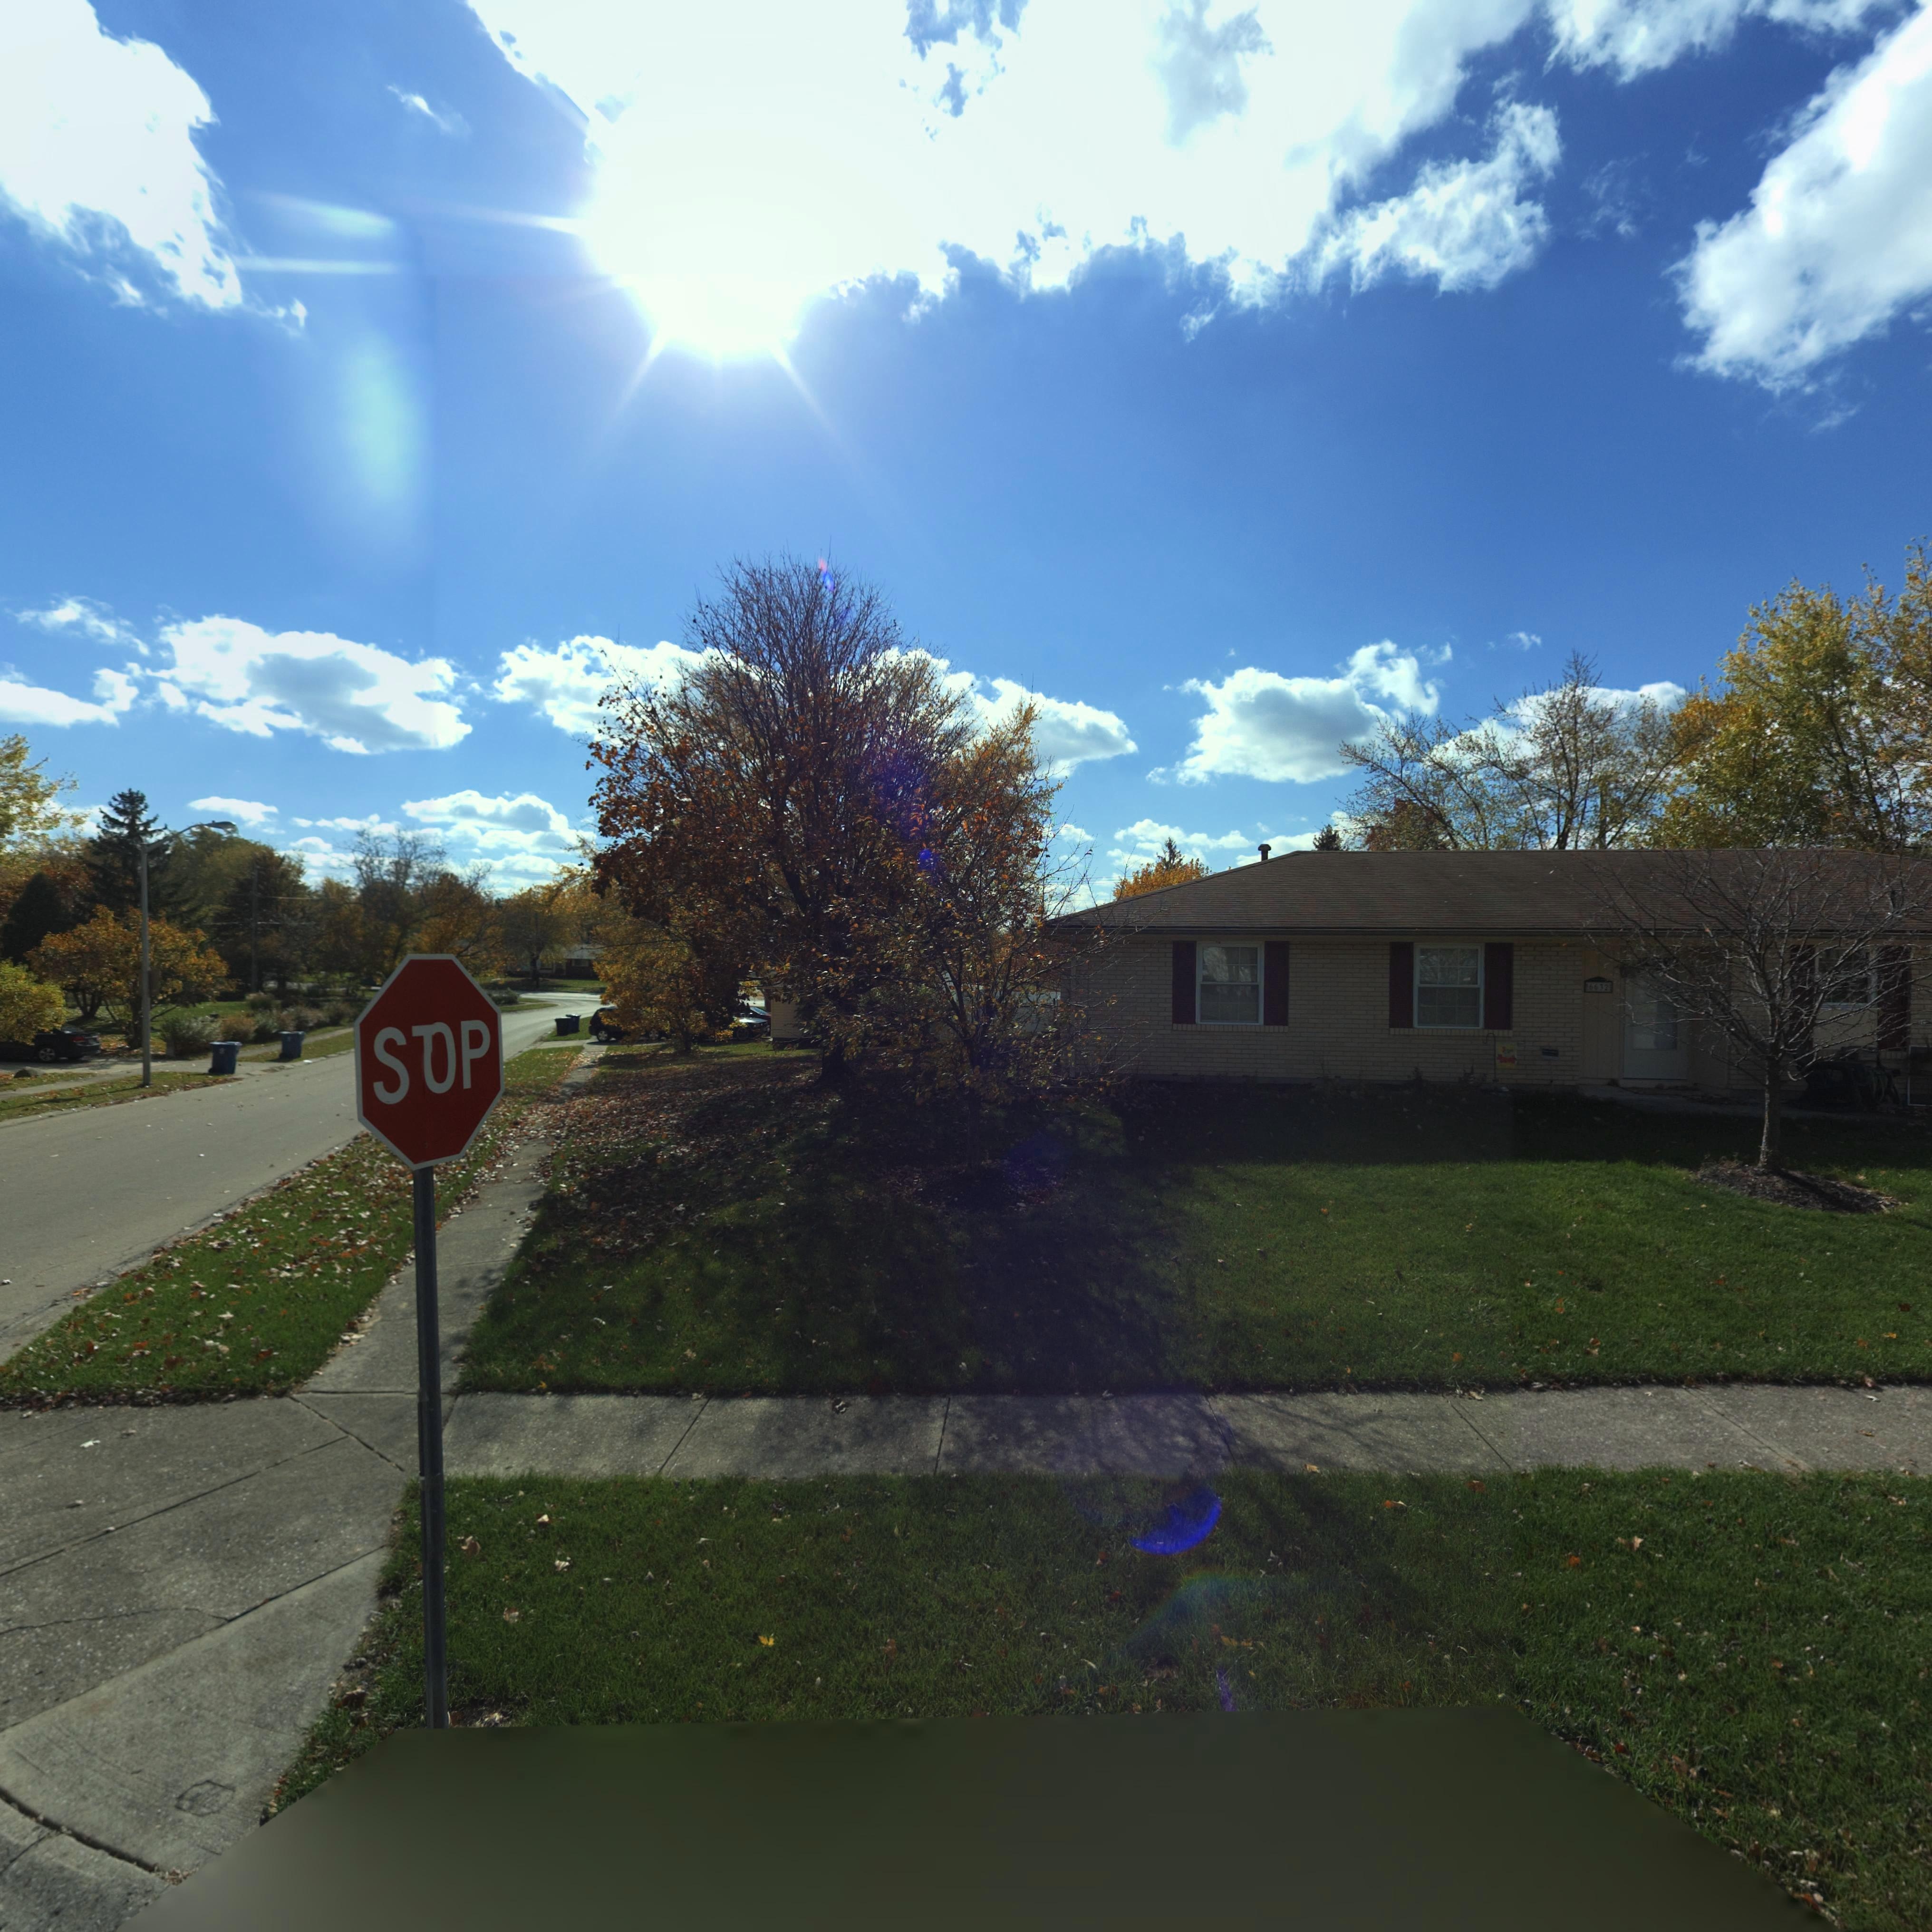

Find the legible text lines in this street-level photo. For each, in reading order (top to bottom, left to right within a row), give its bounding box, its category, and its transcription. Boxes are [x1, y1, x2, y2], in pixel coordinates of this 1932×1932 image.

[1589, 983, 1609, 991] StreetNumber: 6632